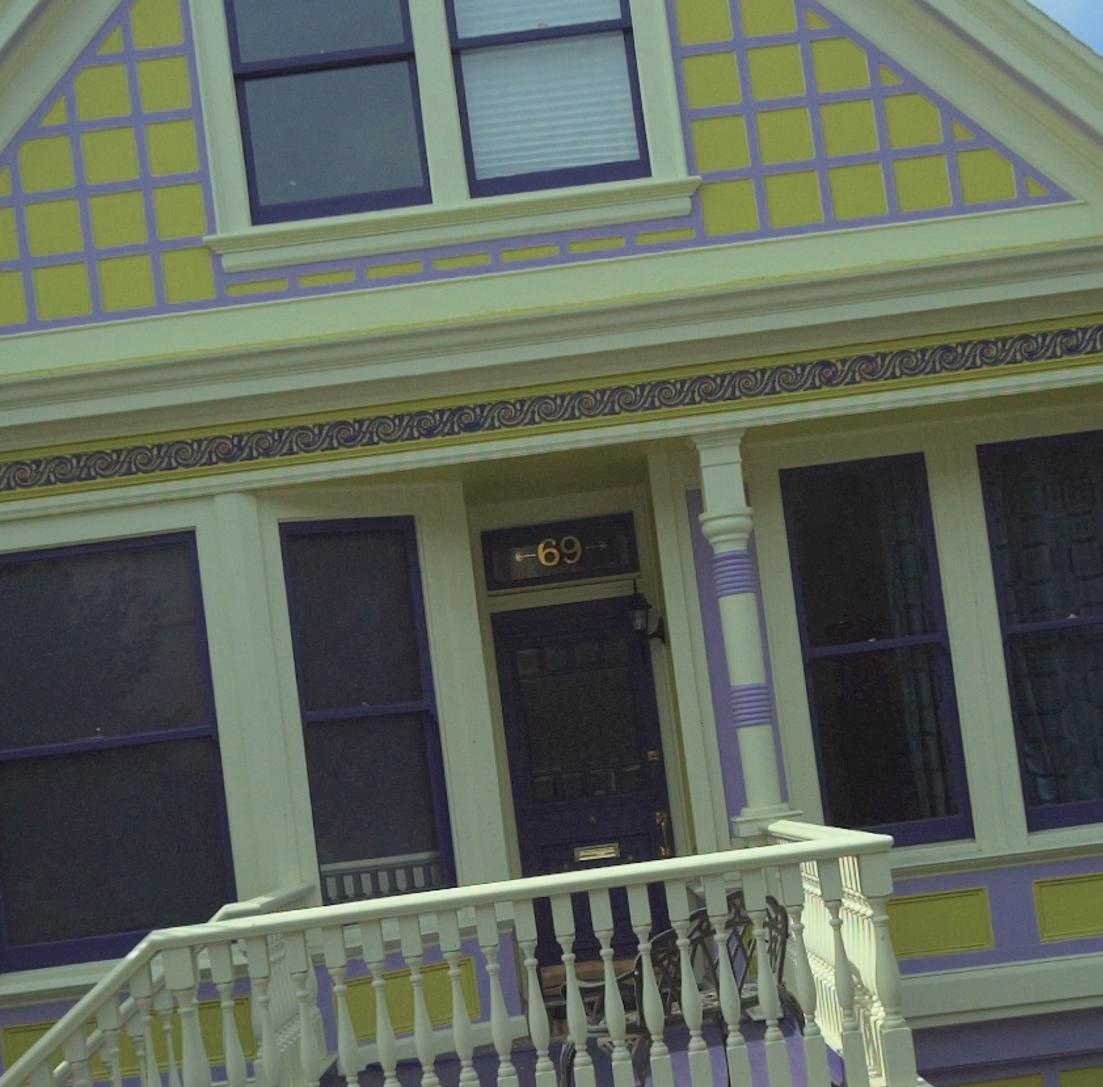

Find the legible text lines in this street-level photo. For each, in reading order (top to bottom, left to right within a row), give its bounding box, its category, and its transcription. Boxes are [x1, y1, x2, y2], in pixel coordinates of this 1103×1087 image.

[535, 532, 584, 569] StreetNumber: 69